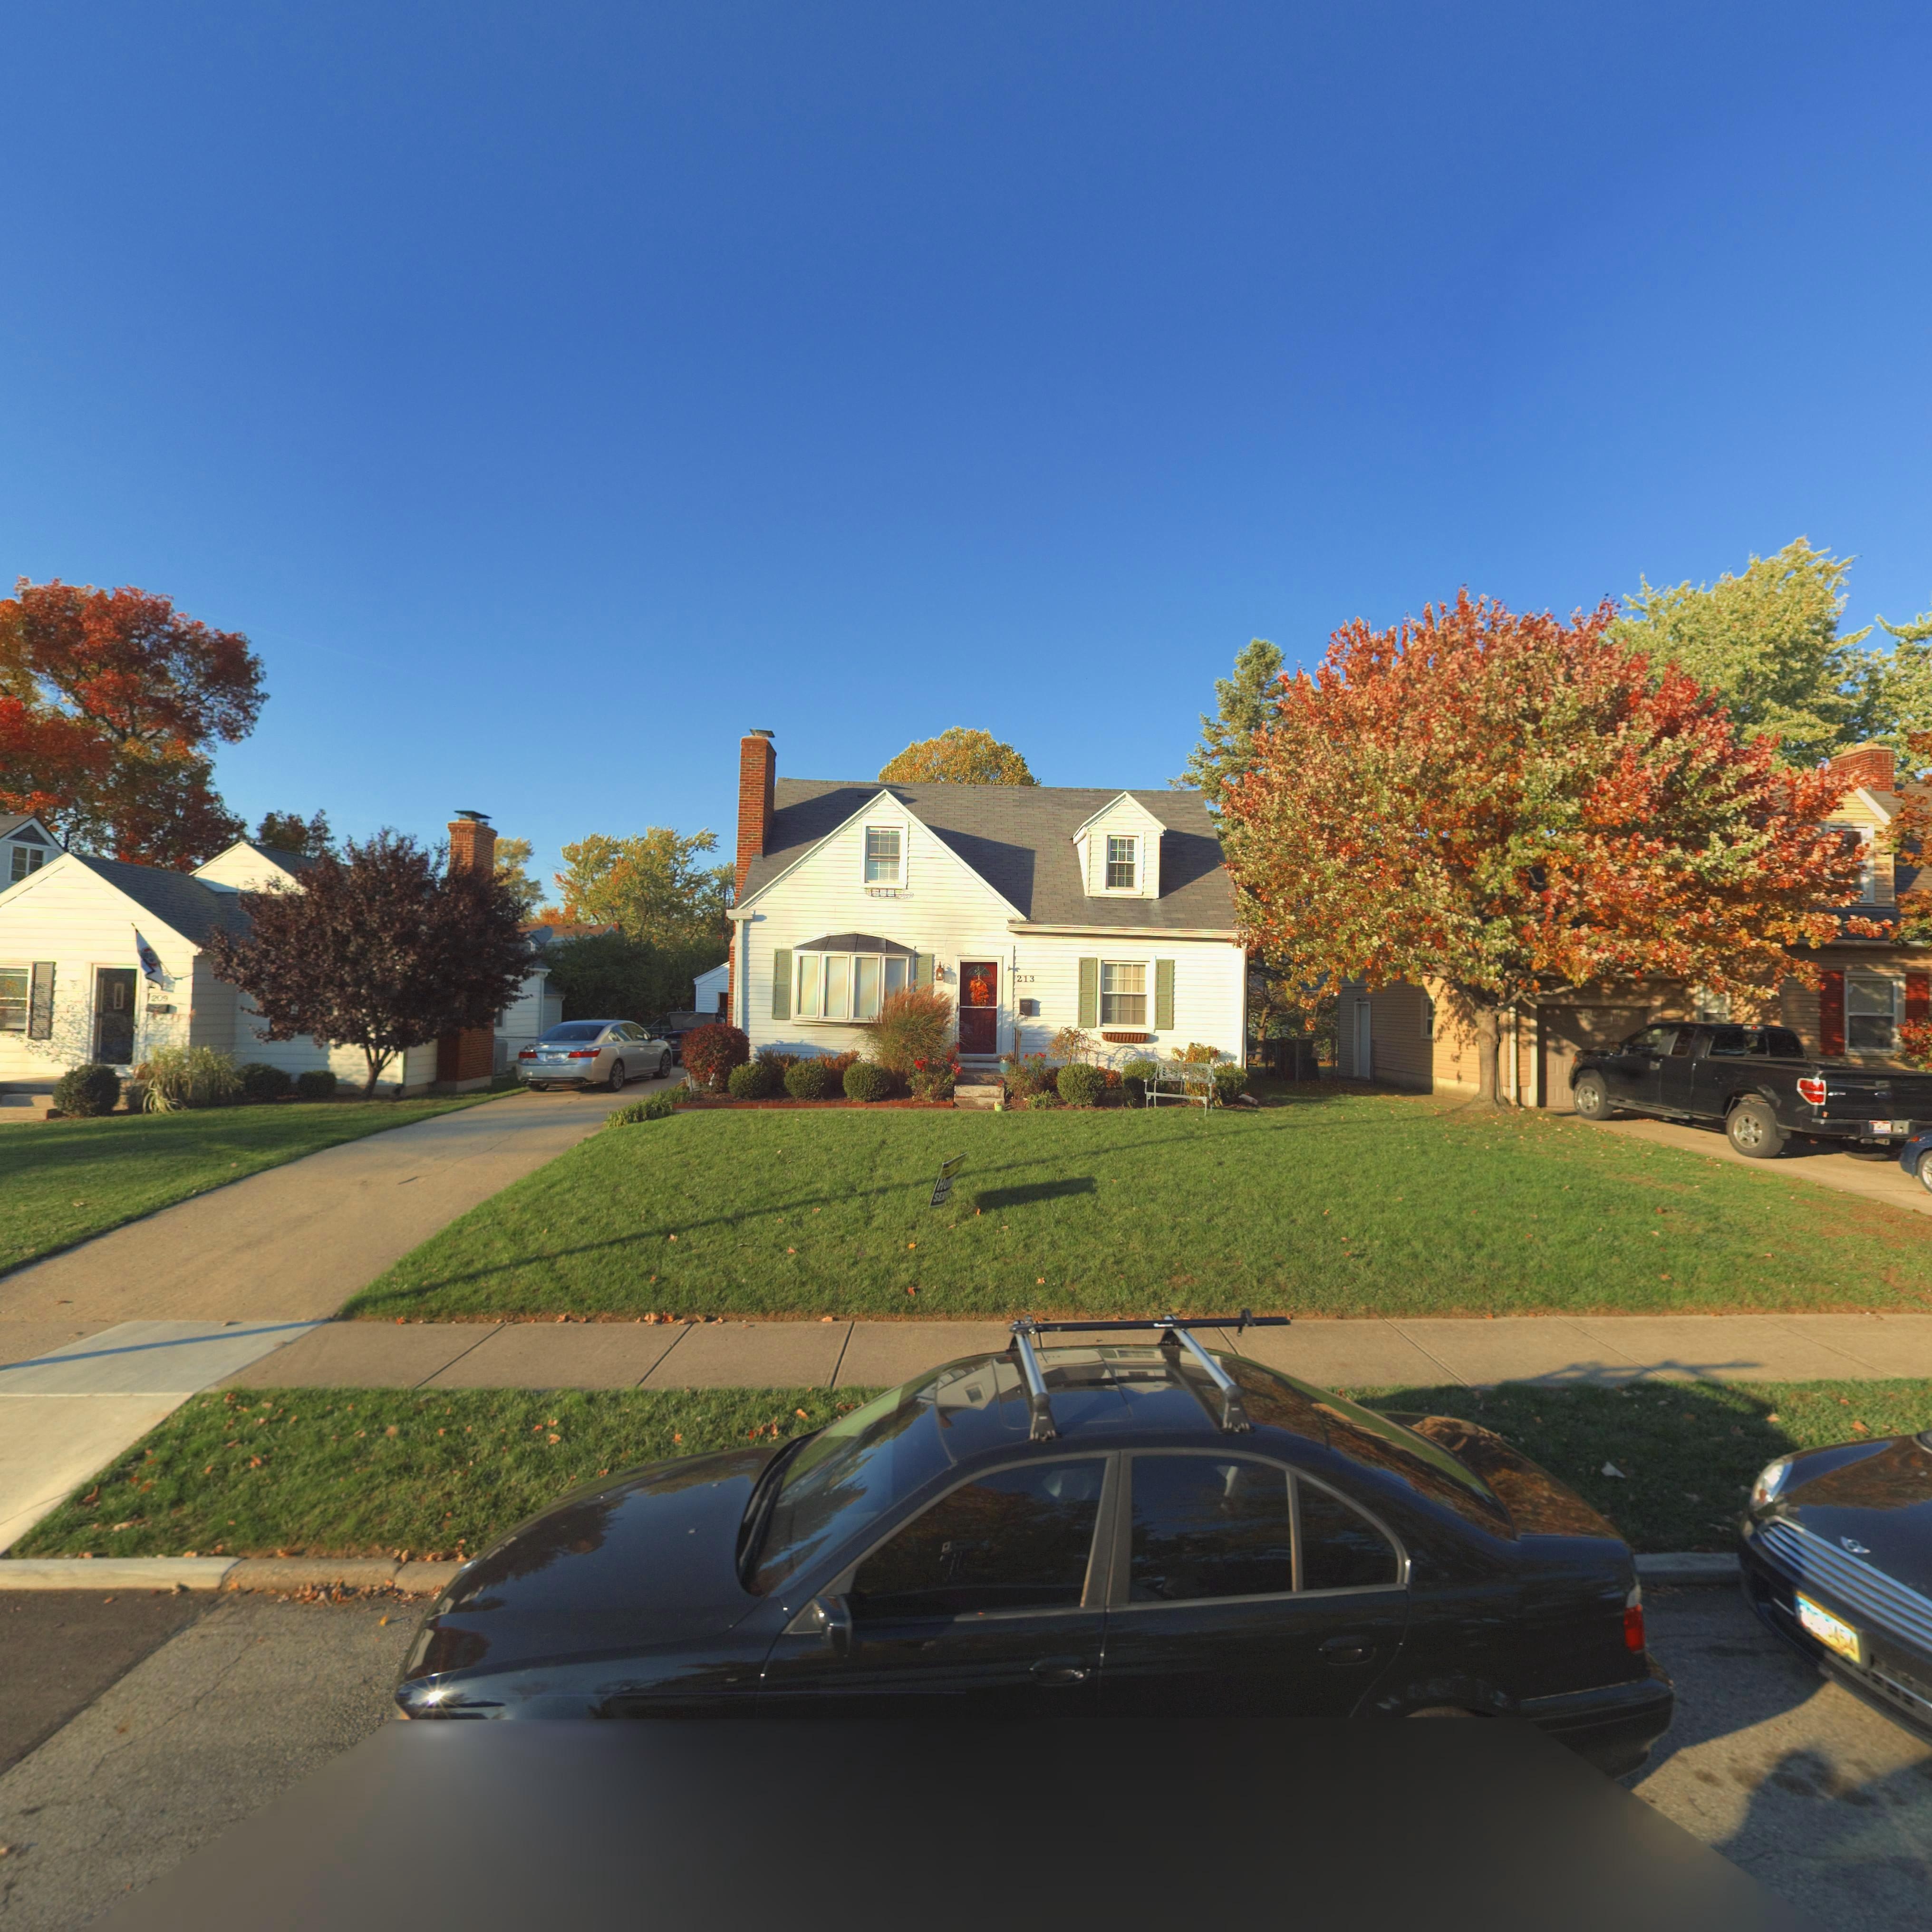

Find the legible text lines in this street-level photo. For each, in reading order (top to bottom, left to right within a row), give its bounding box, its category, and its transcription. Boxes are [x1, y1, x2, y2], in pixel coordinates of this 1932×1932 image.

[1017, 975, 1034, 982] StreetNumber: 213
[151, 995, 168, 1002] StreetNumber: 209